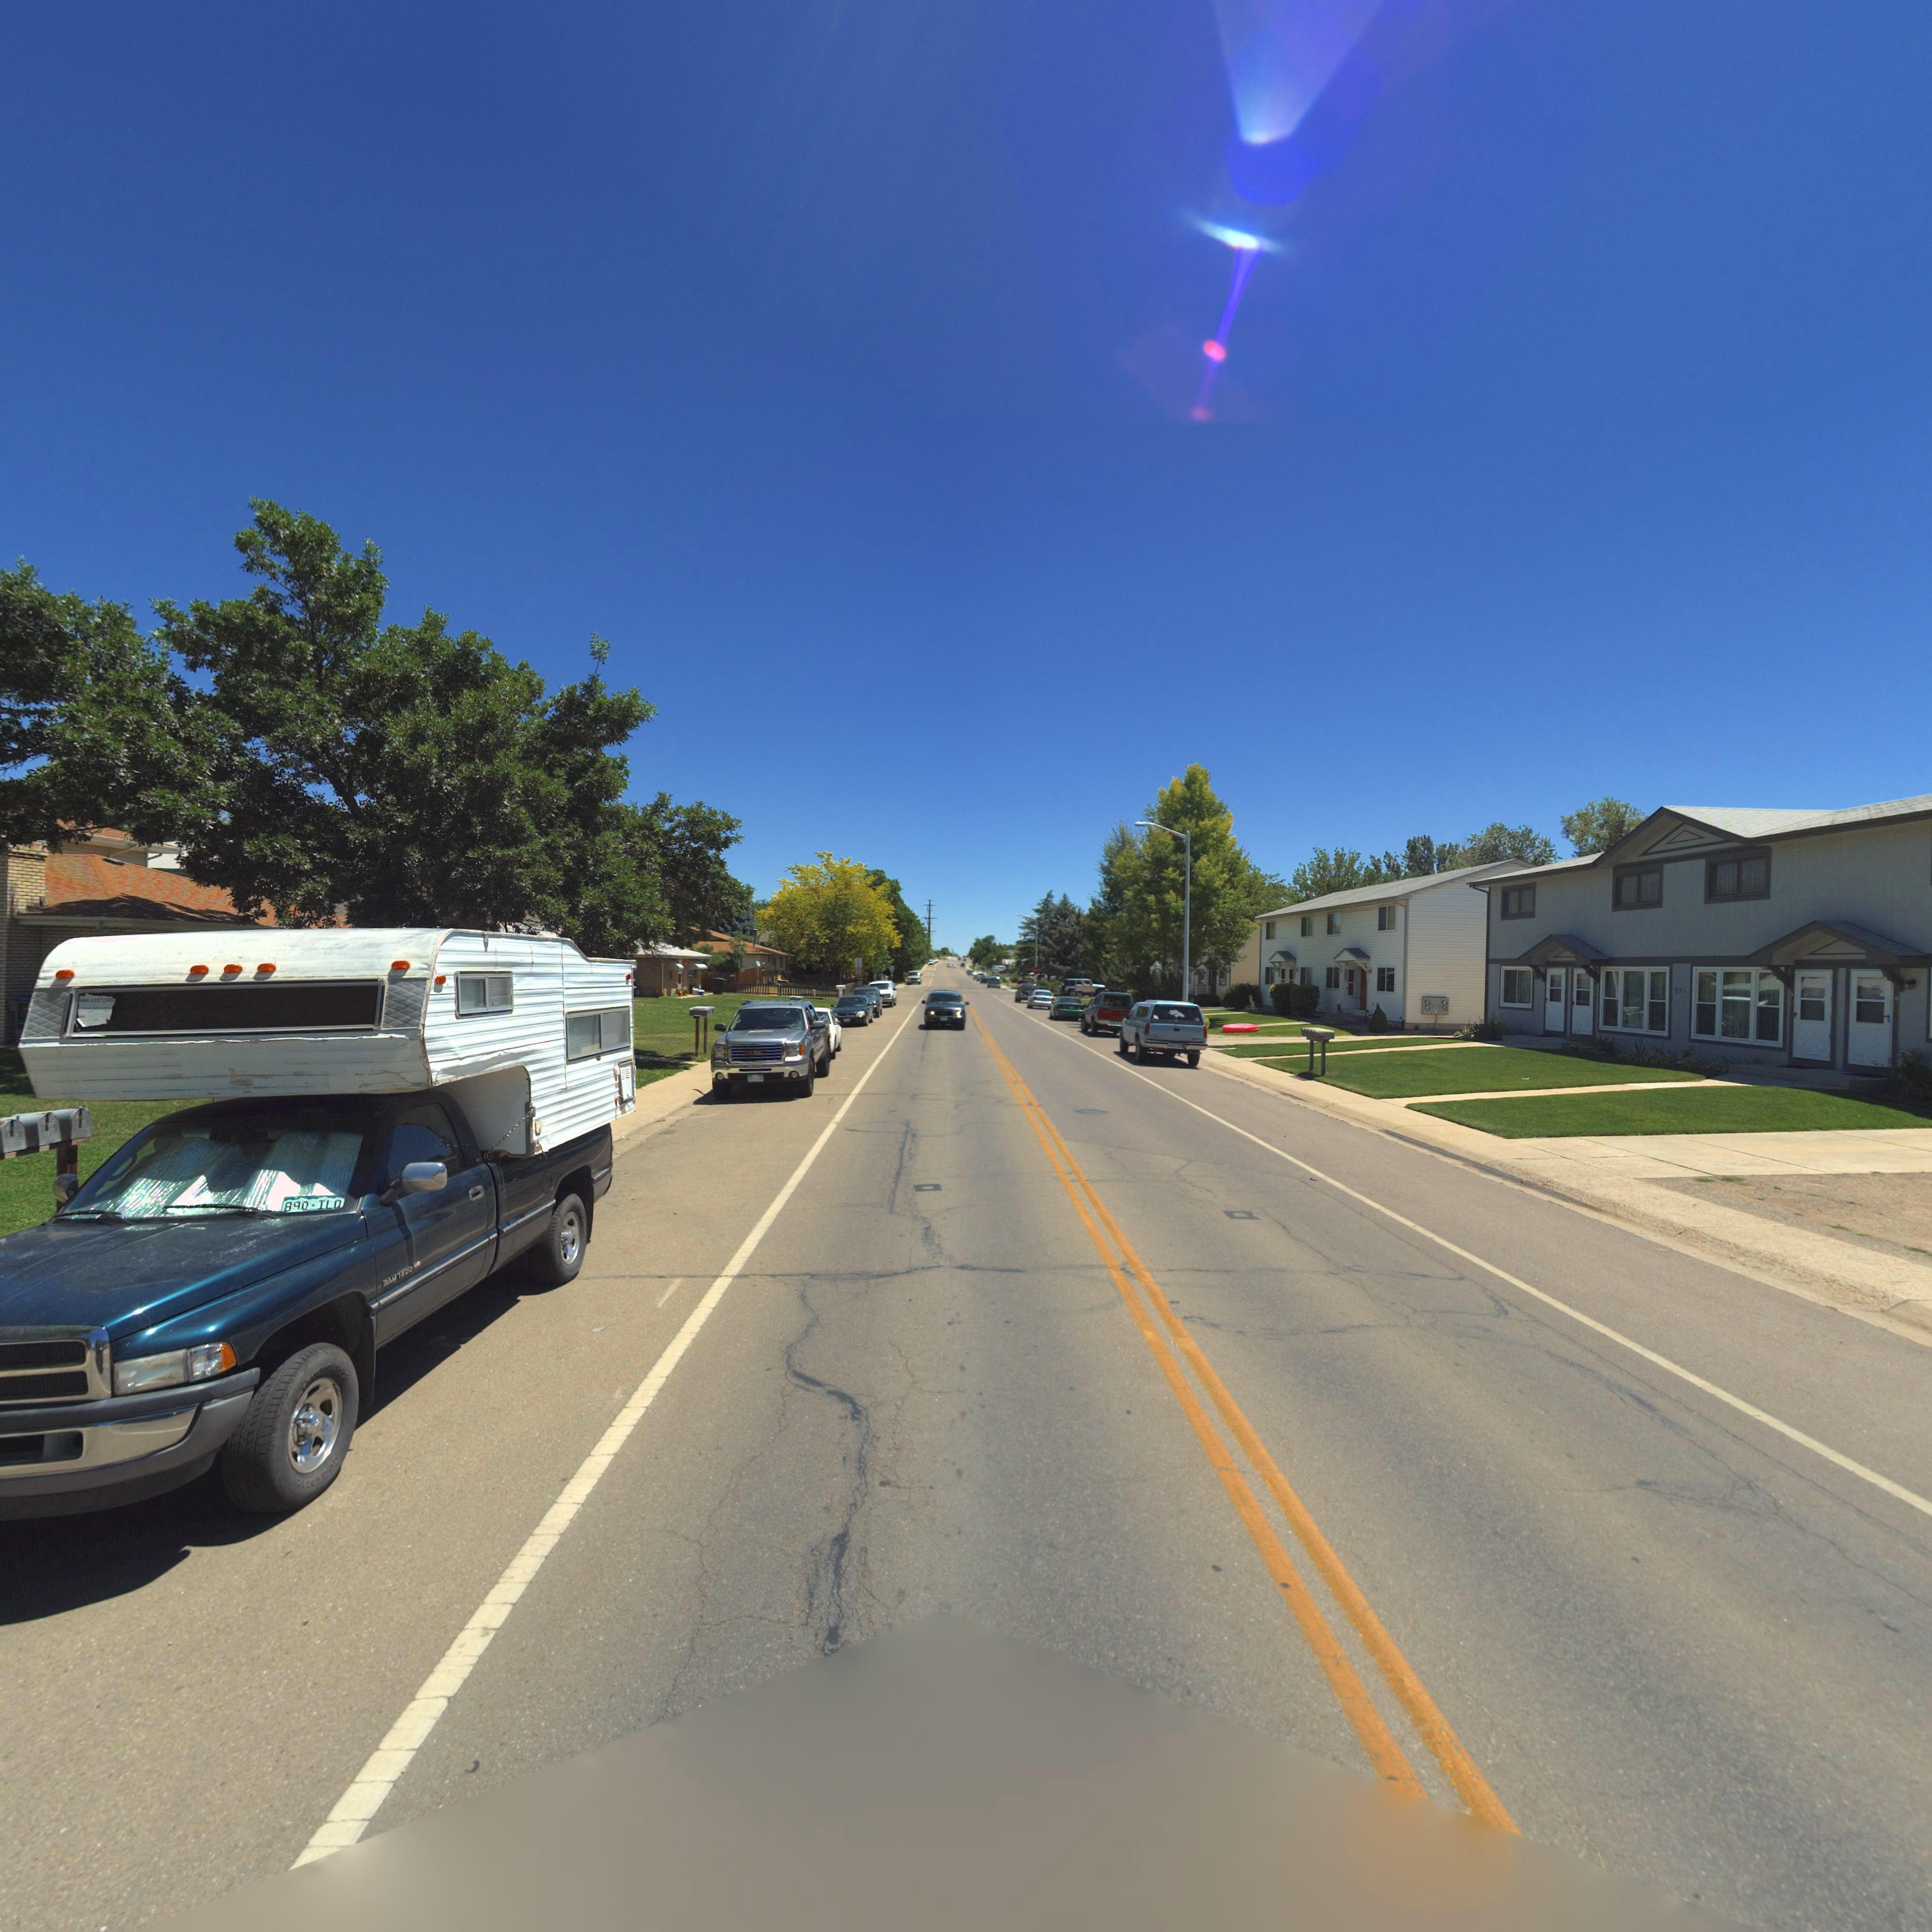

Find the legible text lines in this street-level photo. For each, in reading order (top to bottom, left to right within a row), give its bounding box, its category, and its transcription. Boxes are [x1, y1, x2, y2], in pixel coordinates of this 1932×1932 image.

[1674, 987, 1685, 994] StreetNumber: 331
[1789, 992, 1793, 997] StreetNumber: 3
[1894, 995, 1898, 1001] StreetNumber: 4